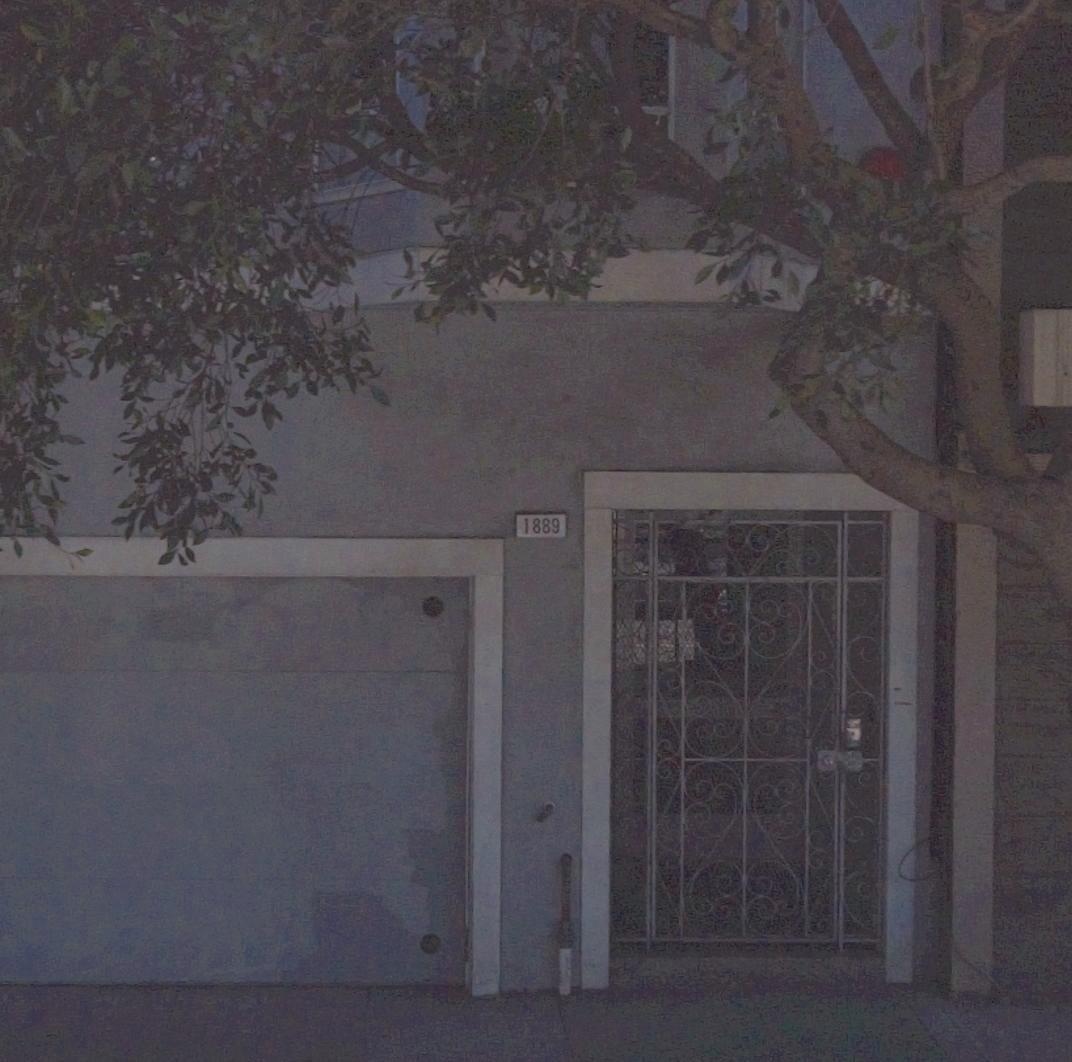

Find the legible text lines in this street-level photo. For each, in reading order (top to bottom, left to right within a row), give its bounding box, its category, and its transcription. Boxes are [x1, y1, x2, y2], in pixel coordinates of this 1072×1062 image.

[522, 515, 561, 536] StreetNumber: 1889